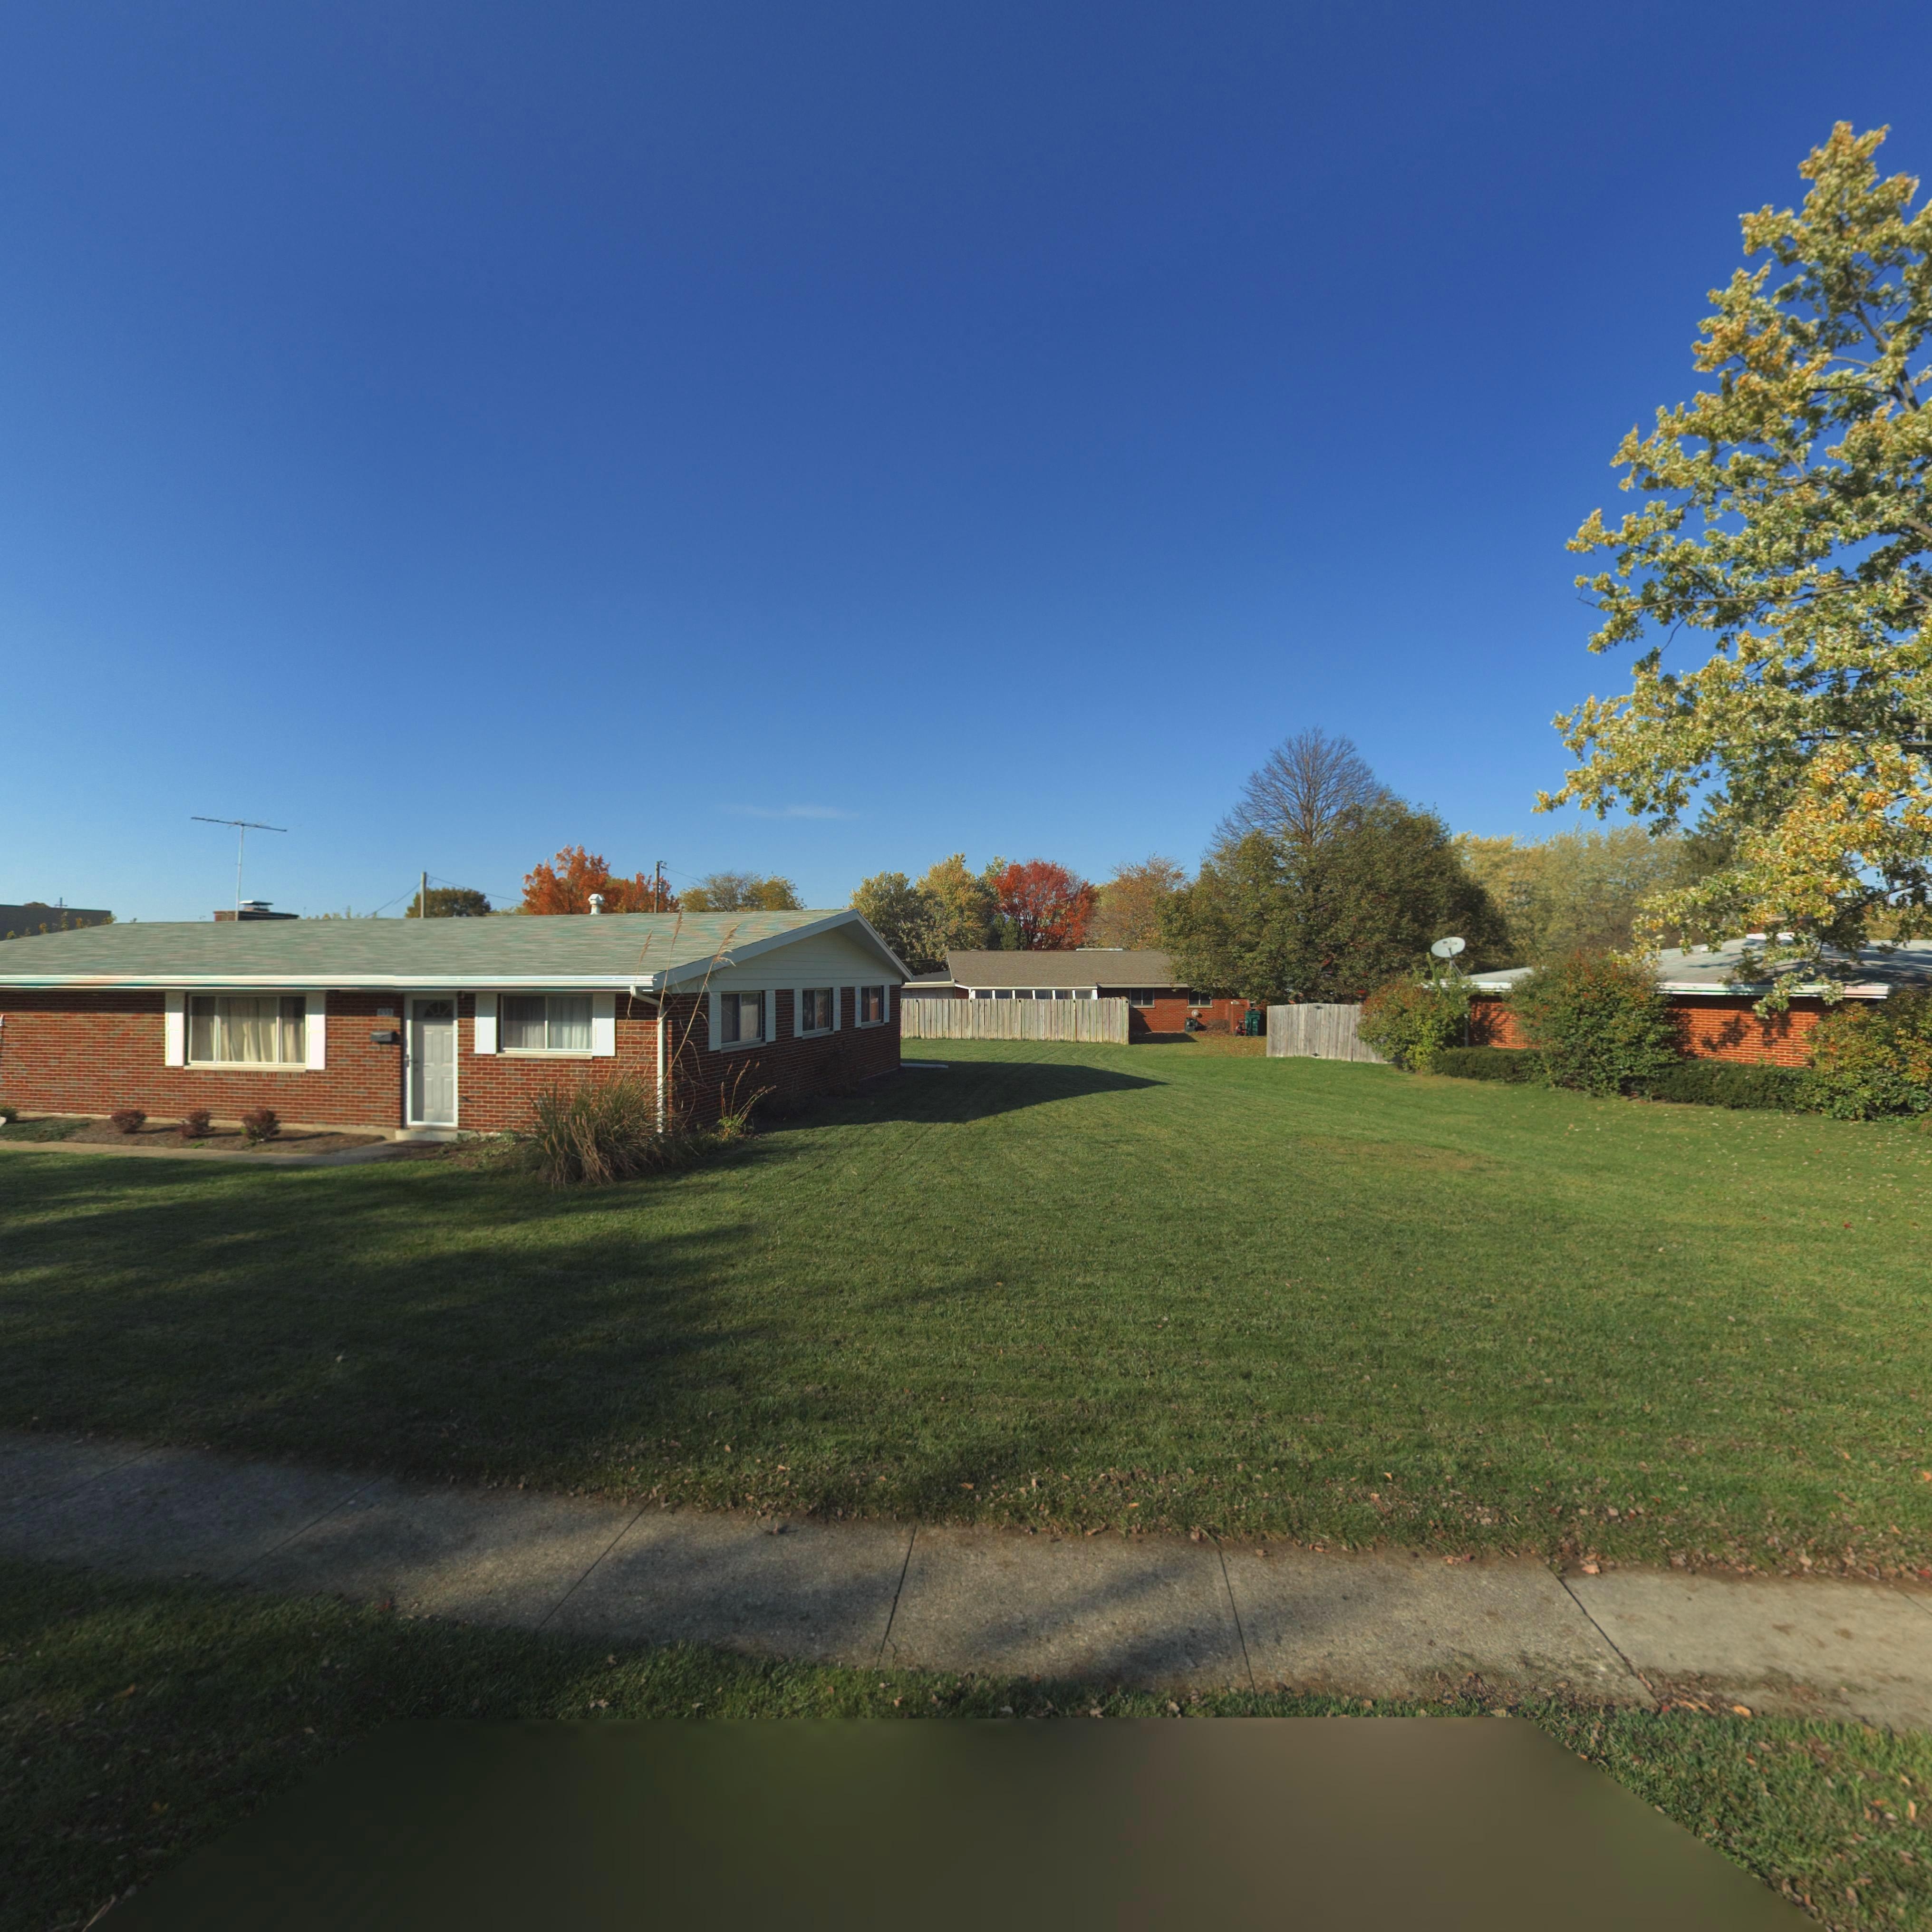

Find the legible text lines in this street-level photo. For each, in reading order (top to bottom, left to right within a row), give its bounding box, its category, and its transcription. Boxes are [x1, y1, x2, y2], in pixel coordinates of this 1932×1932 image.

[377, 1009, 393, 1016] StreetNumber: 65*